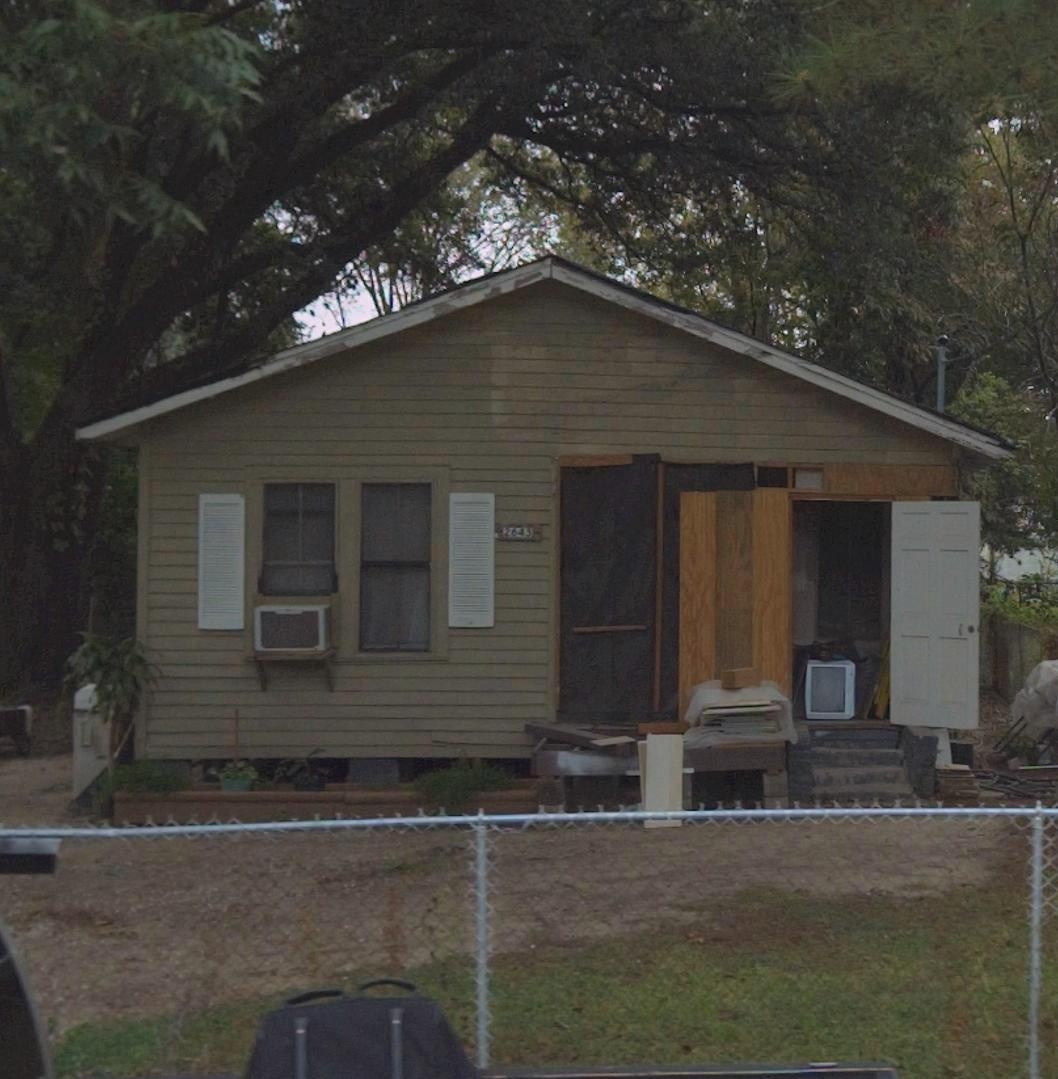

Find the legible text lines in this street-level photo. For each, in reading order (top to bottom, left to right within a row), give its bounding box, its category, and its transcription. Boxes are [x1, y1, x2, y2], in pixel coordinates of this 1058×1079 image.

[504, 527, 532, 537] StreetNumber: 2643